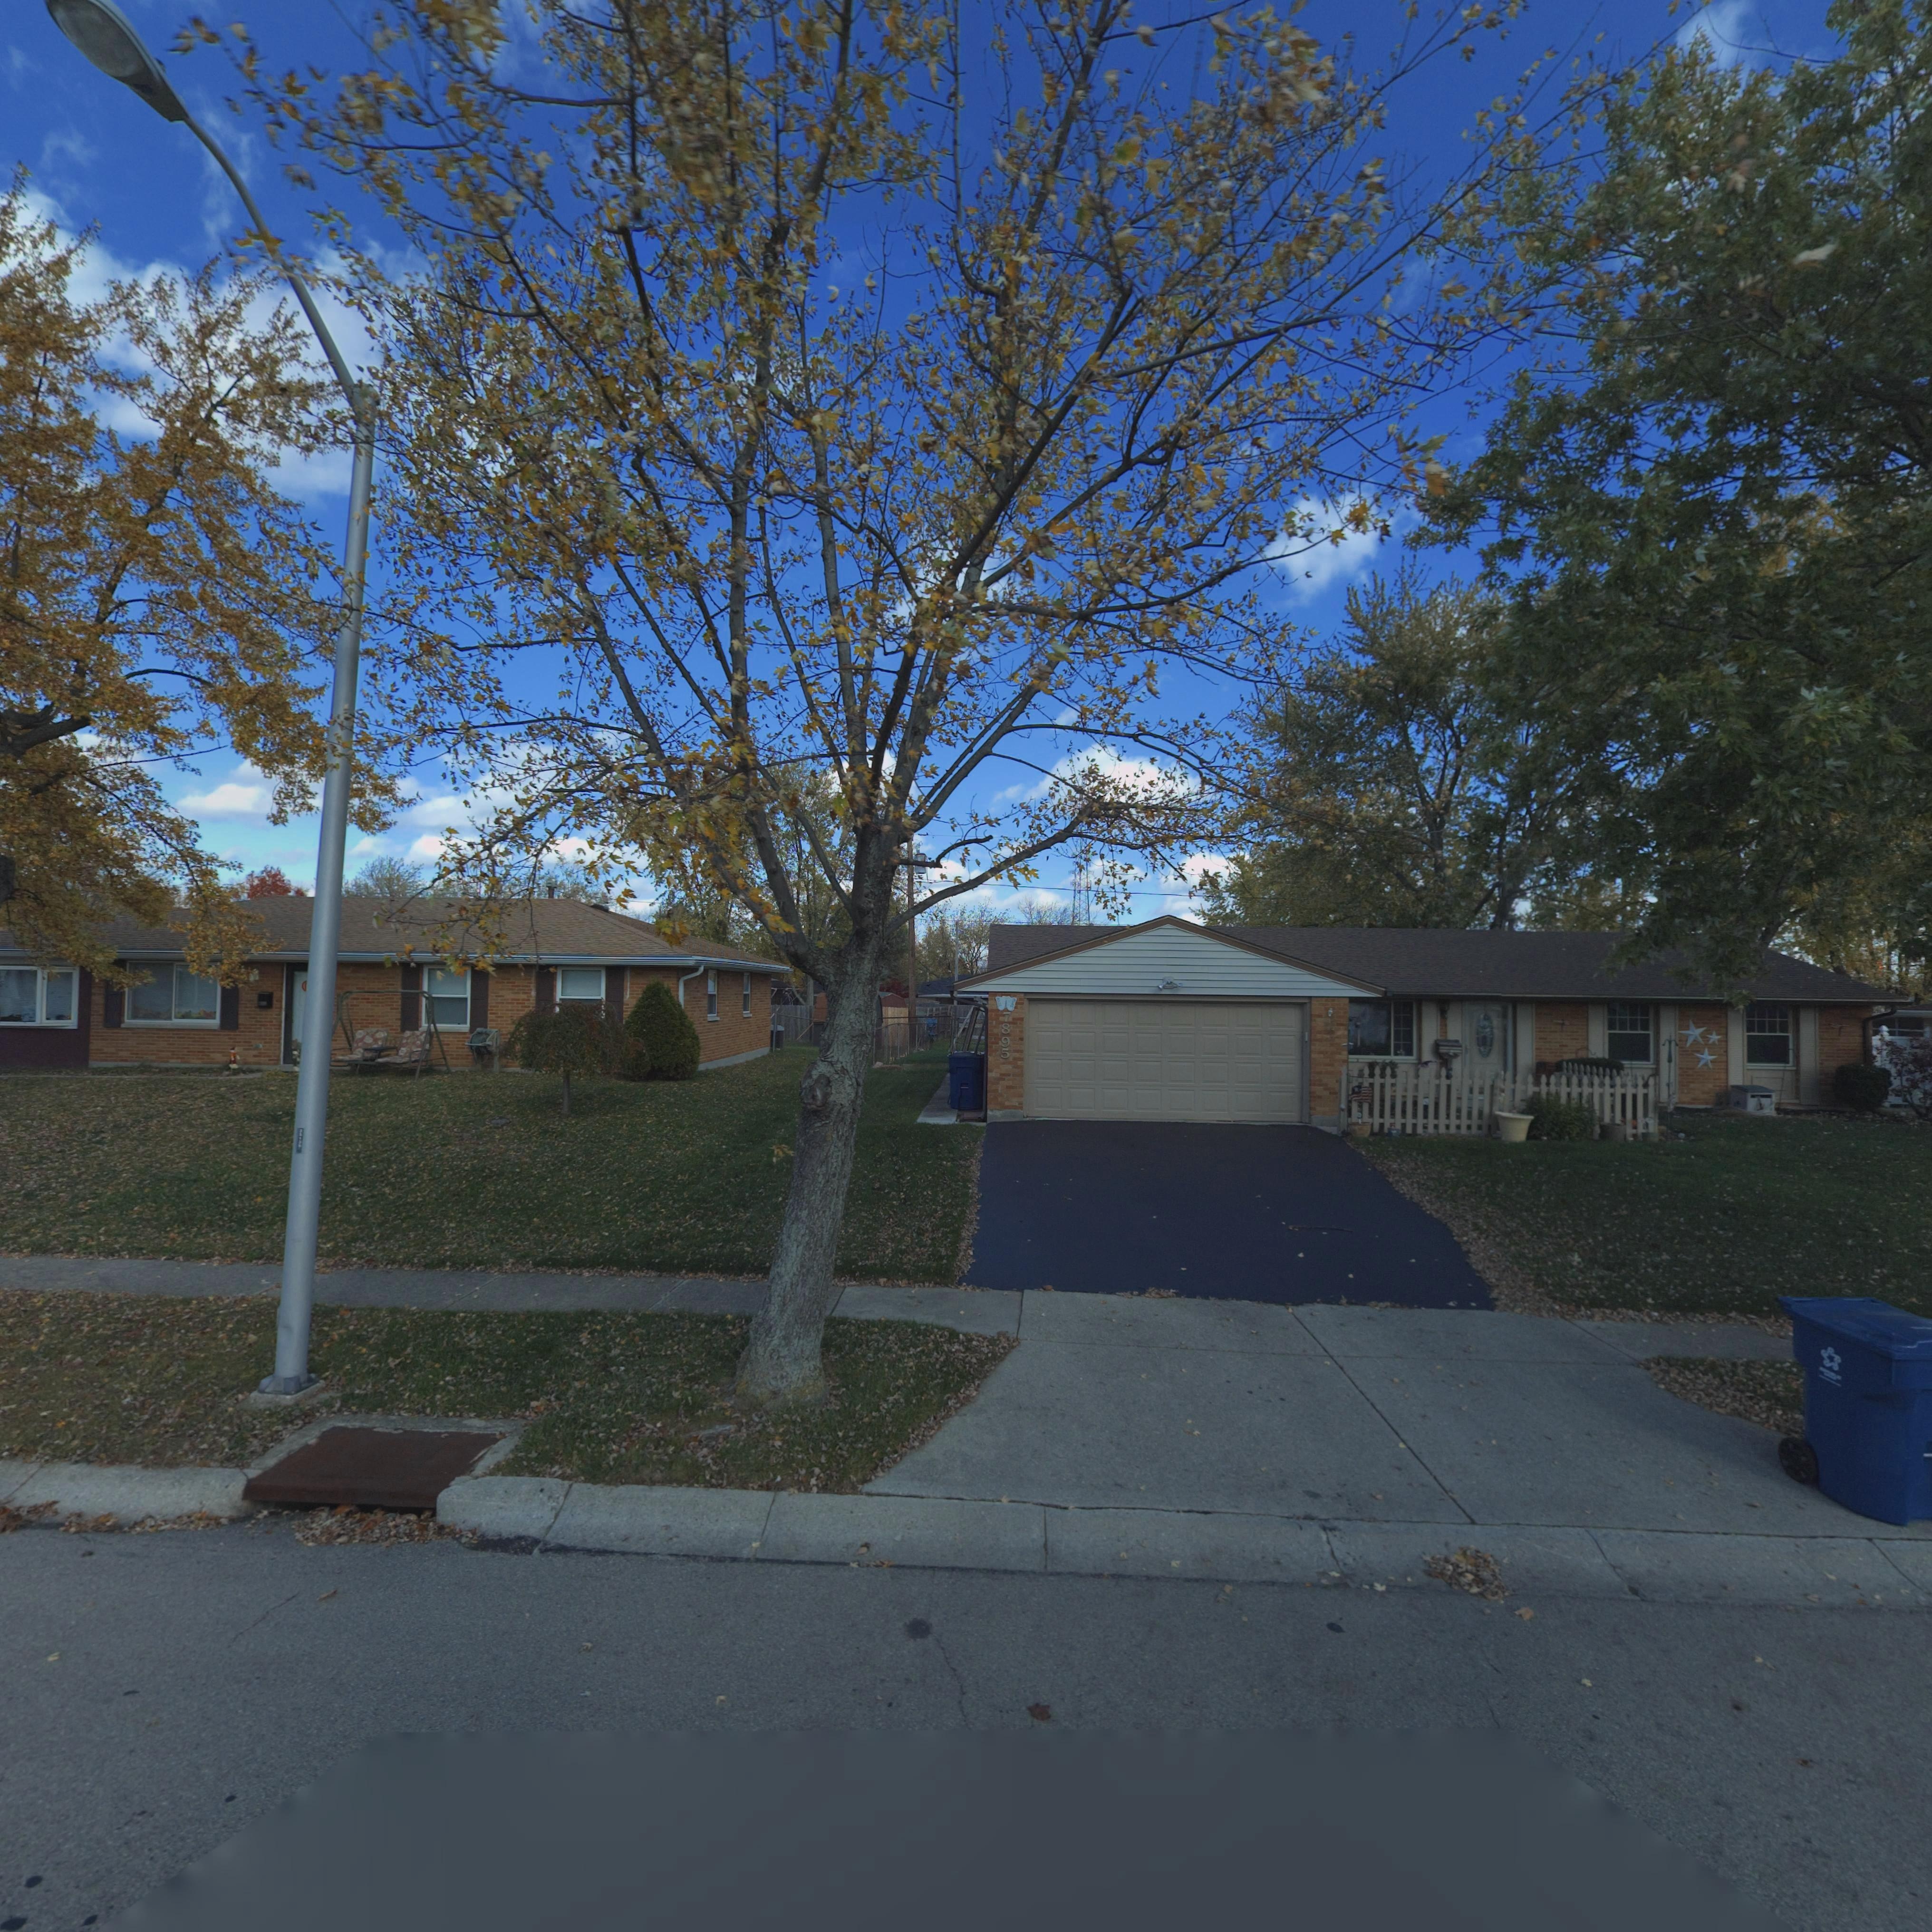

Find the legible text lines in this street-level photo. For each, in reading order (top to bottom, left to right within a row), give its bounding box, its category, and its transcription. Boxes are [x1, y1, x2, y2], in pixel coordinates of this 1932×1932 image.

[257, 1000, 268, 1006] StreetNumber: 7899
[1000, 1011, 1012, 1059] StreetNumber: 7895